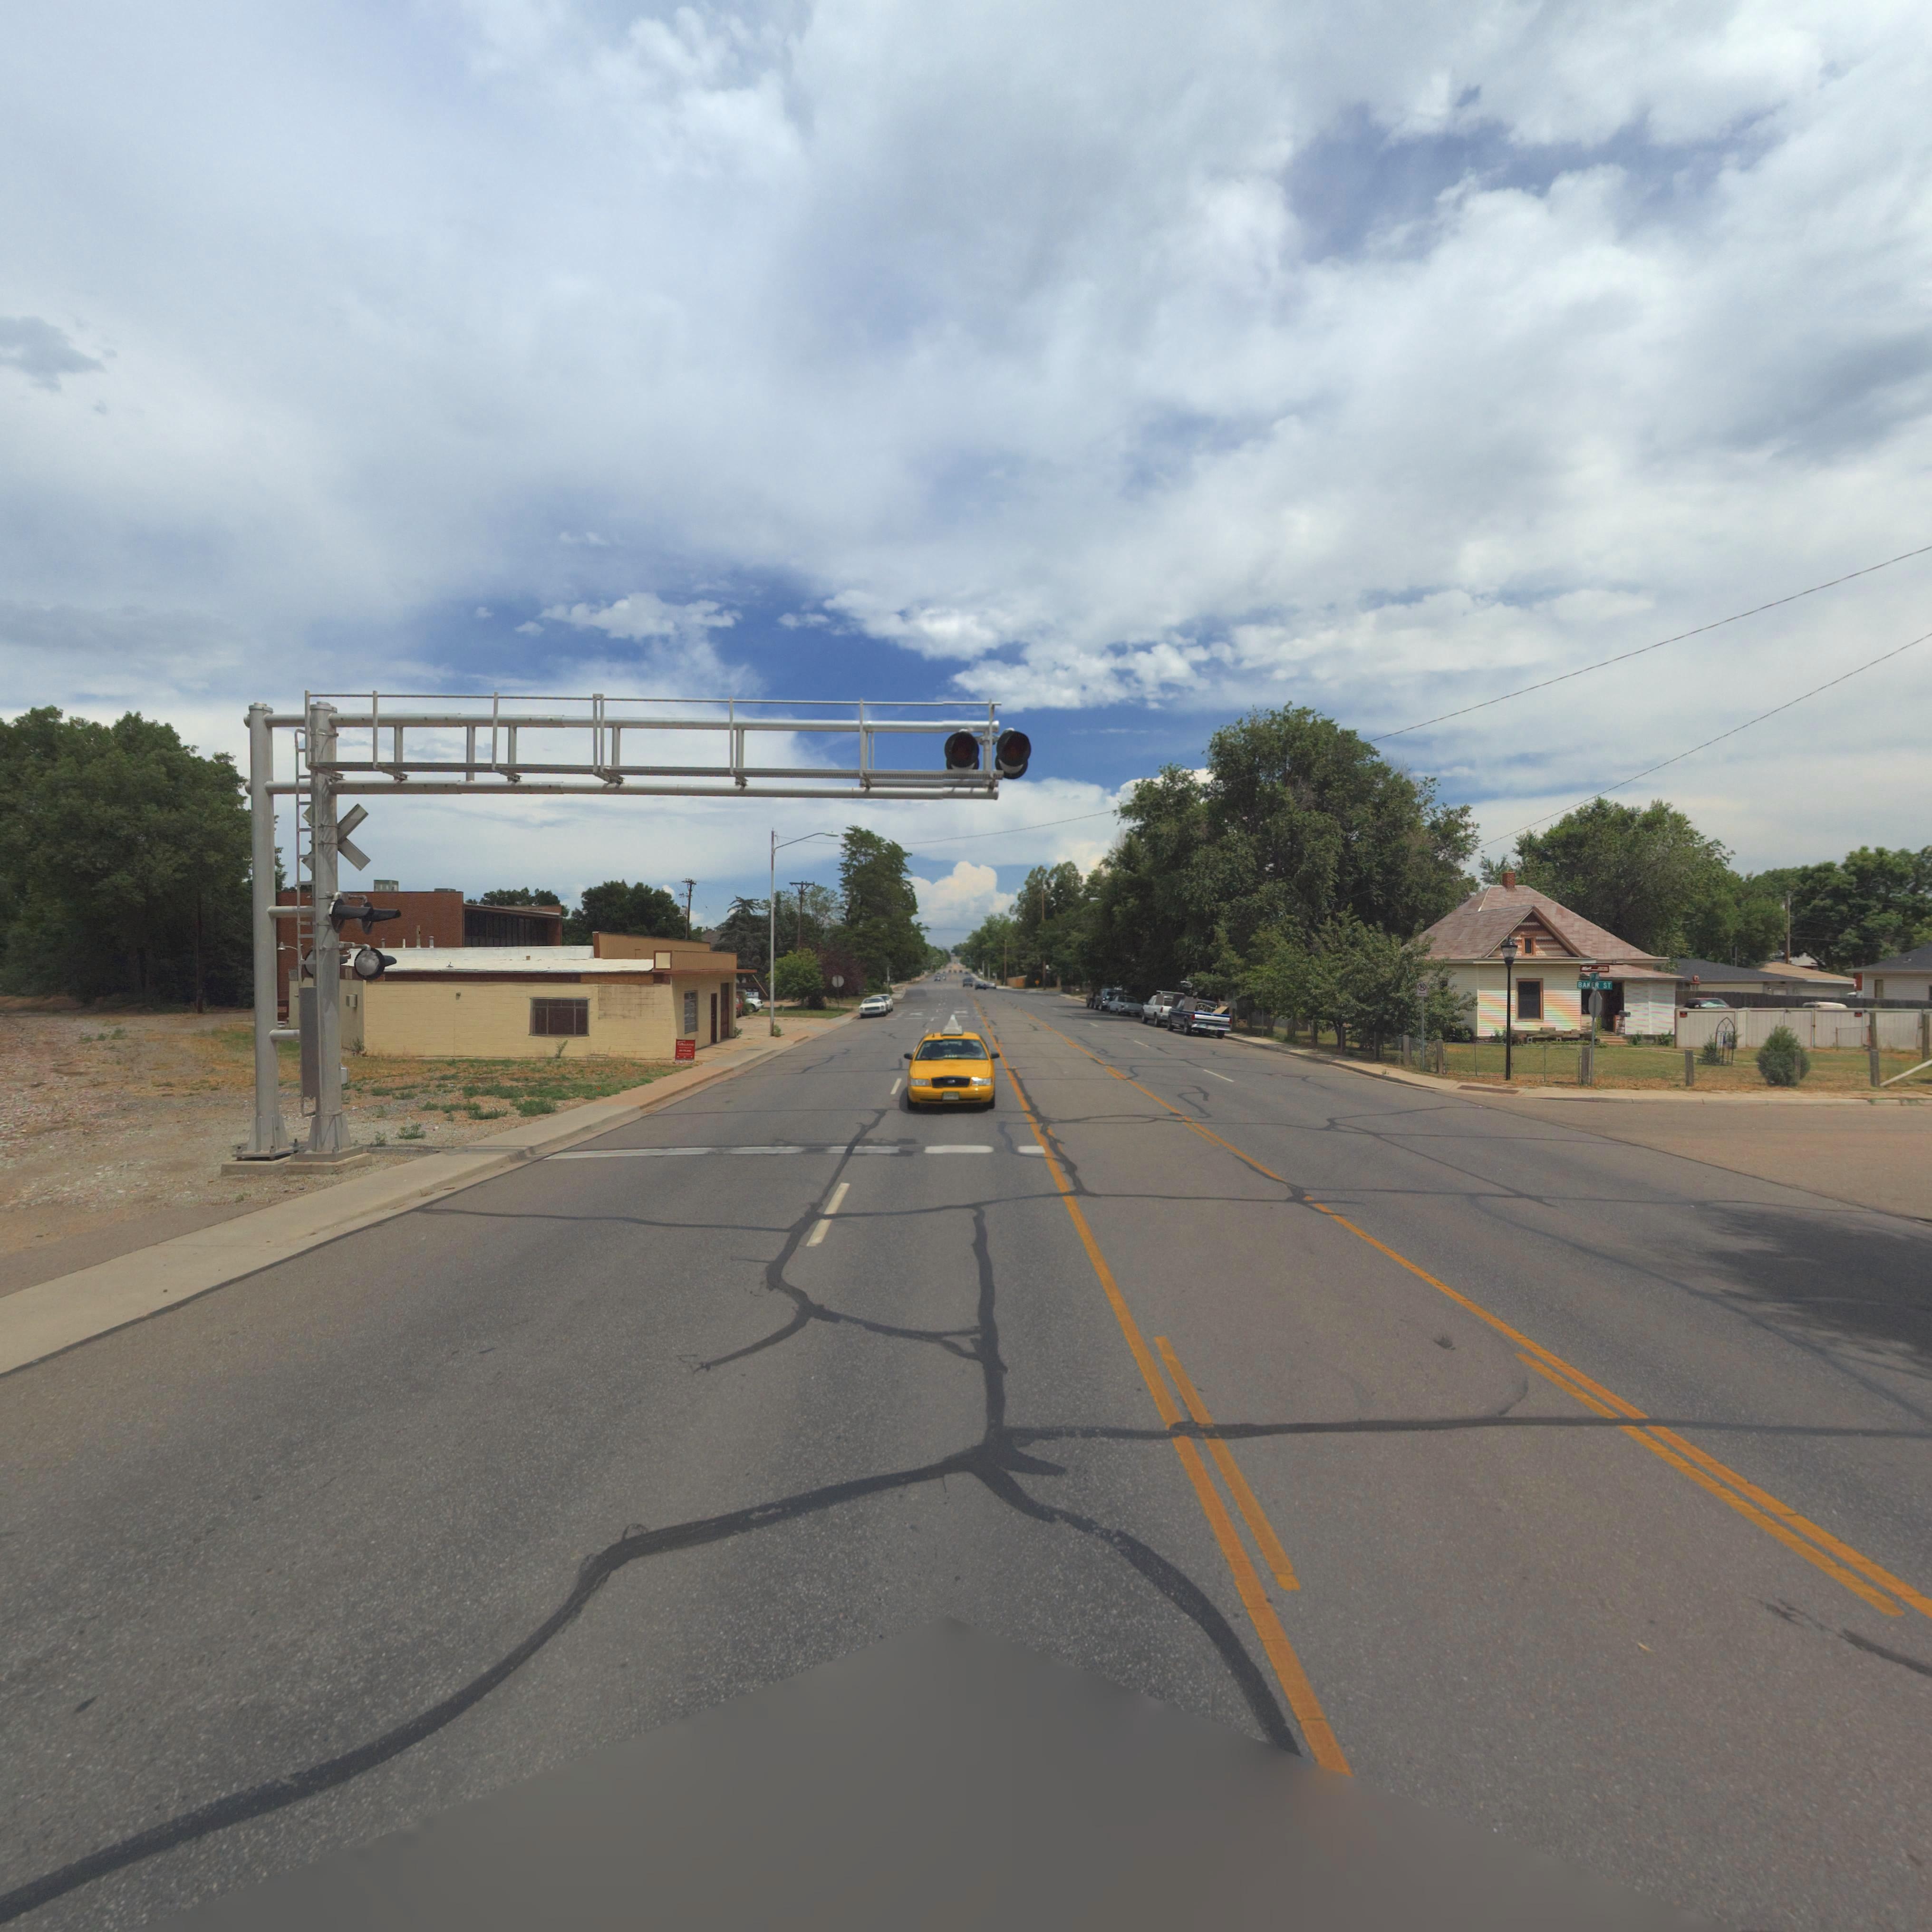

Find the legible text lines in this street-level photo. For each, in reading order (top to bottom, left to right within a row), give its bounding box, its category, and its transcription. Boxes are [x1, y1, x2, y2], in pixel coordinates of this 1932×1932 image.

[1589, 973, 1599, 980] StreetName: 9* AV
[1577, 981, 1612, 989] StreetName: BAKER ST